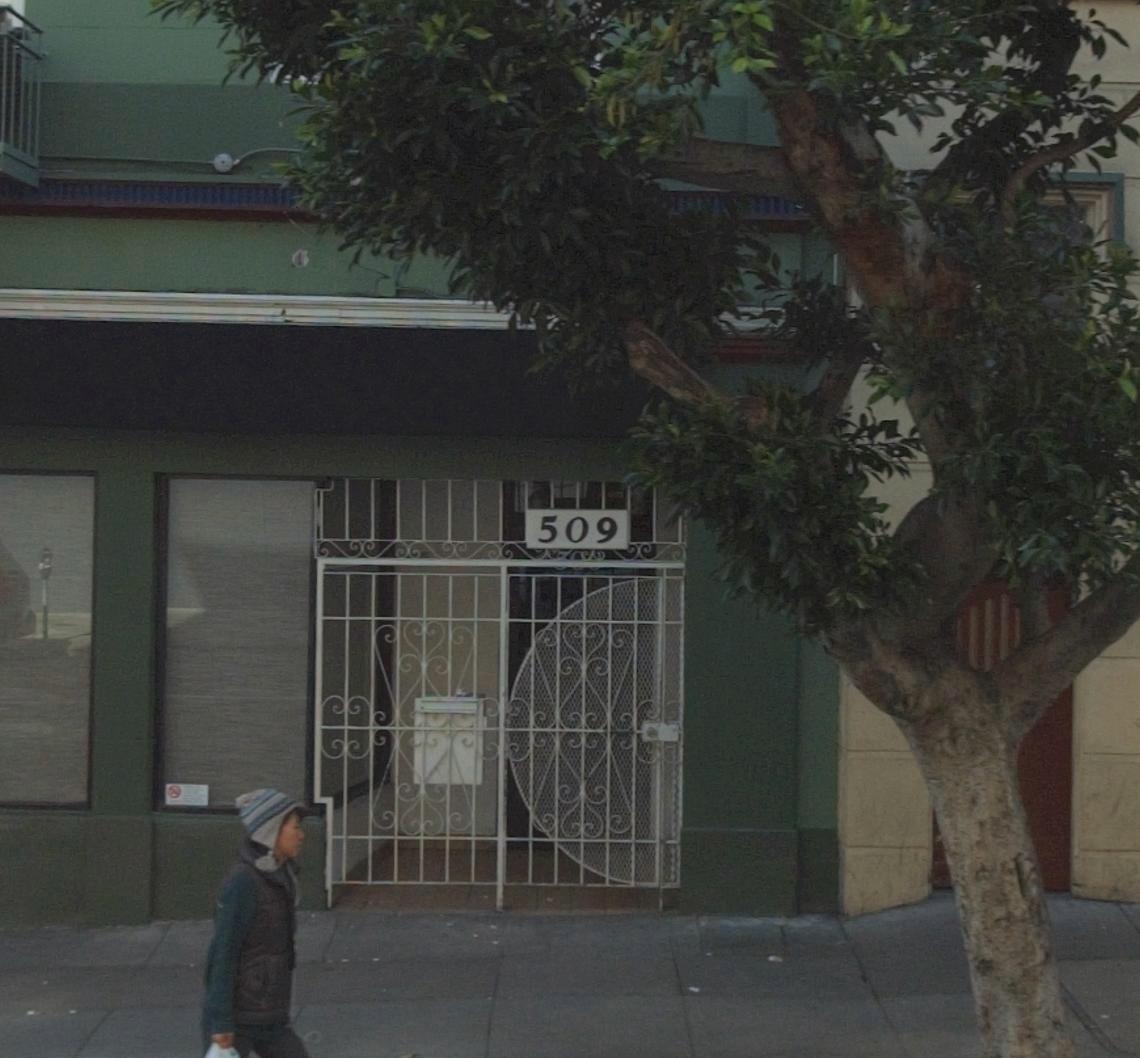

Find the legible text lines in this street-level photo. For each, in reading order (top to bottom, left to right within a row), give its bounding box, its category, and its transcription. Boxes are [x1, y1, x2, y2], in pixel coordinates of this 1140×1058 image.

[534, 511, 623, 548] StreetNumber: 509